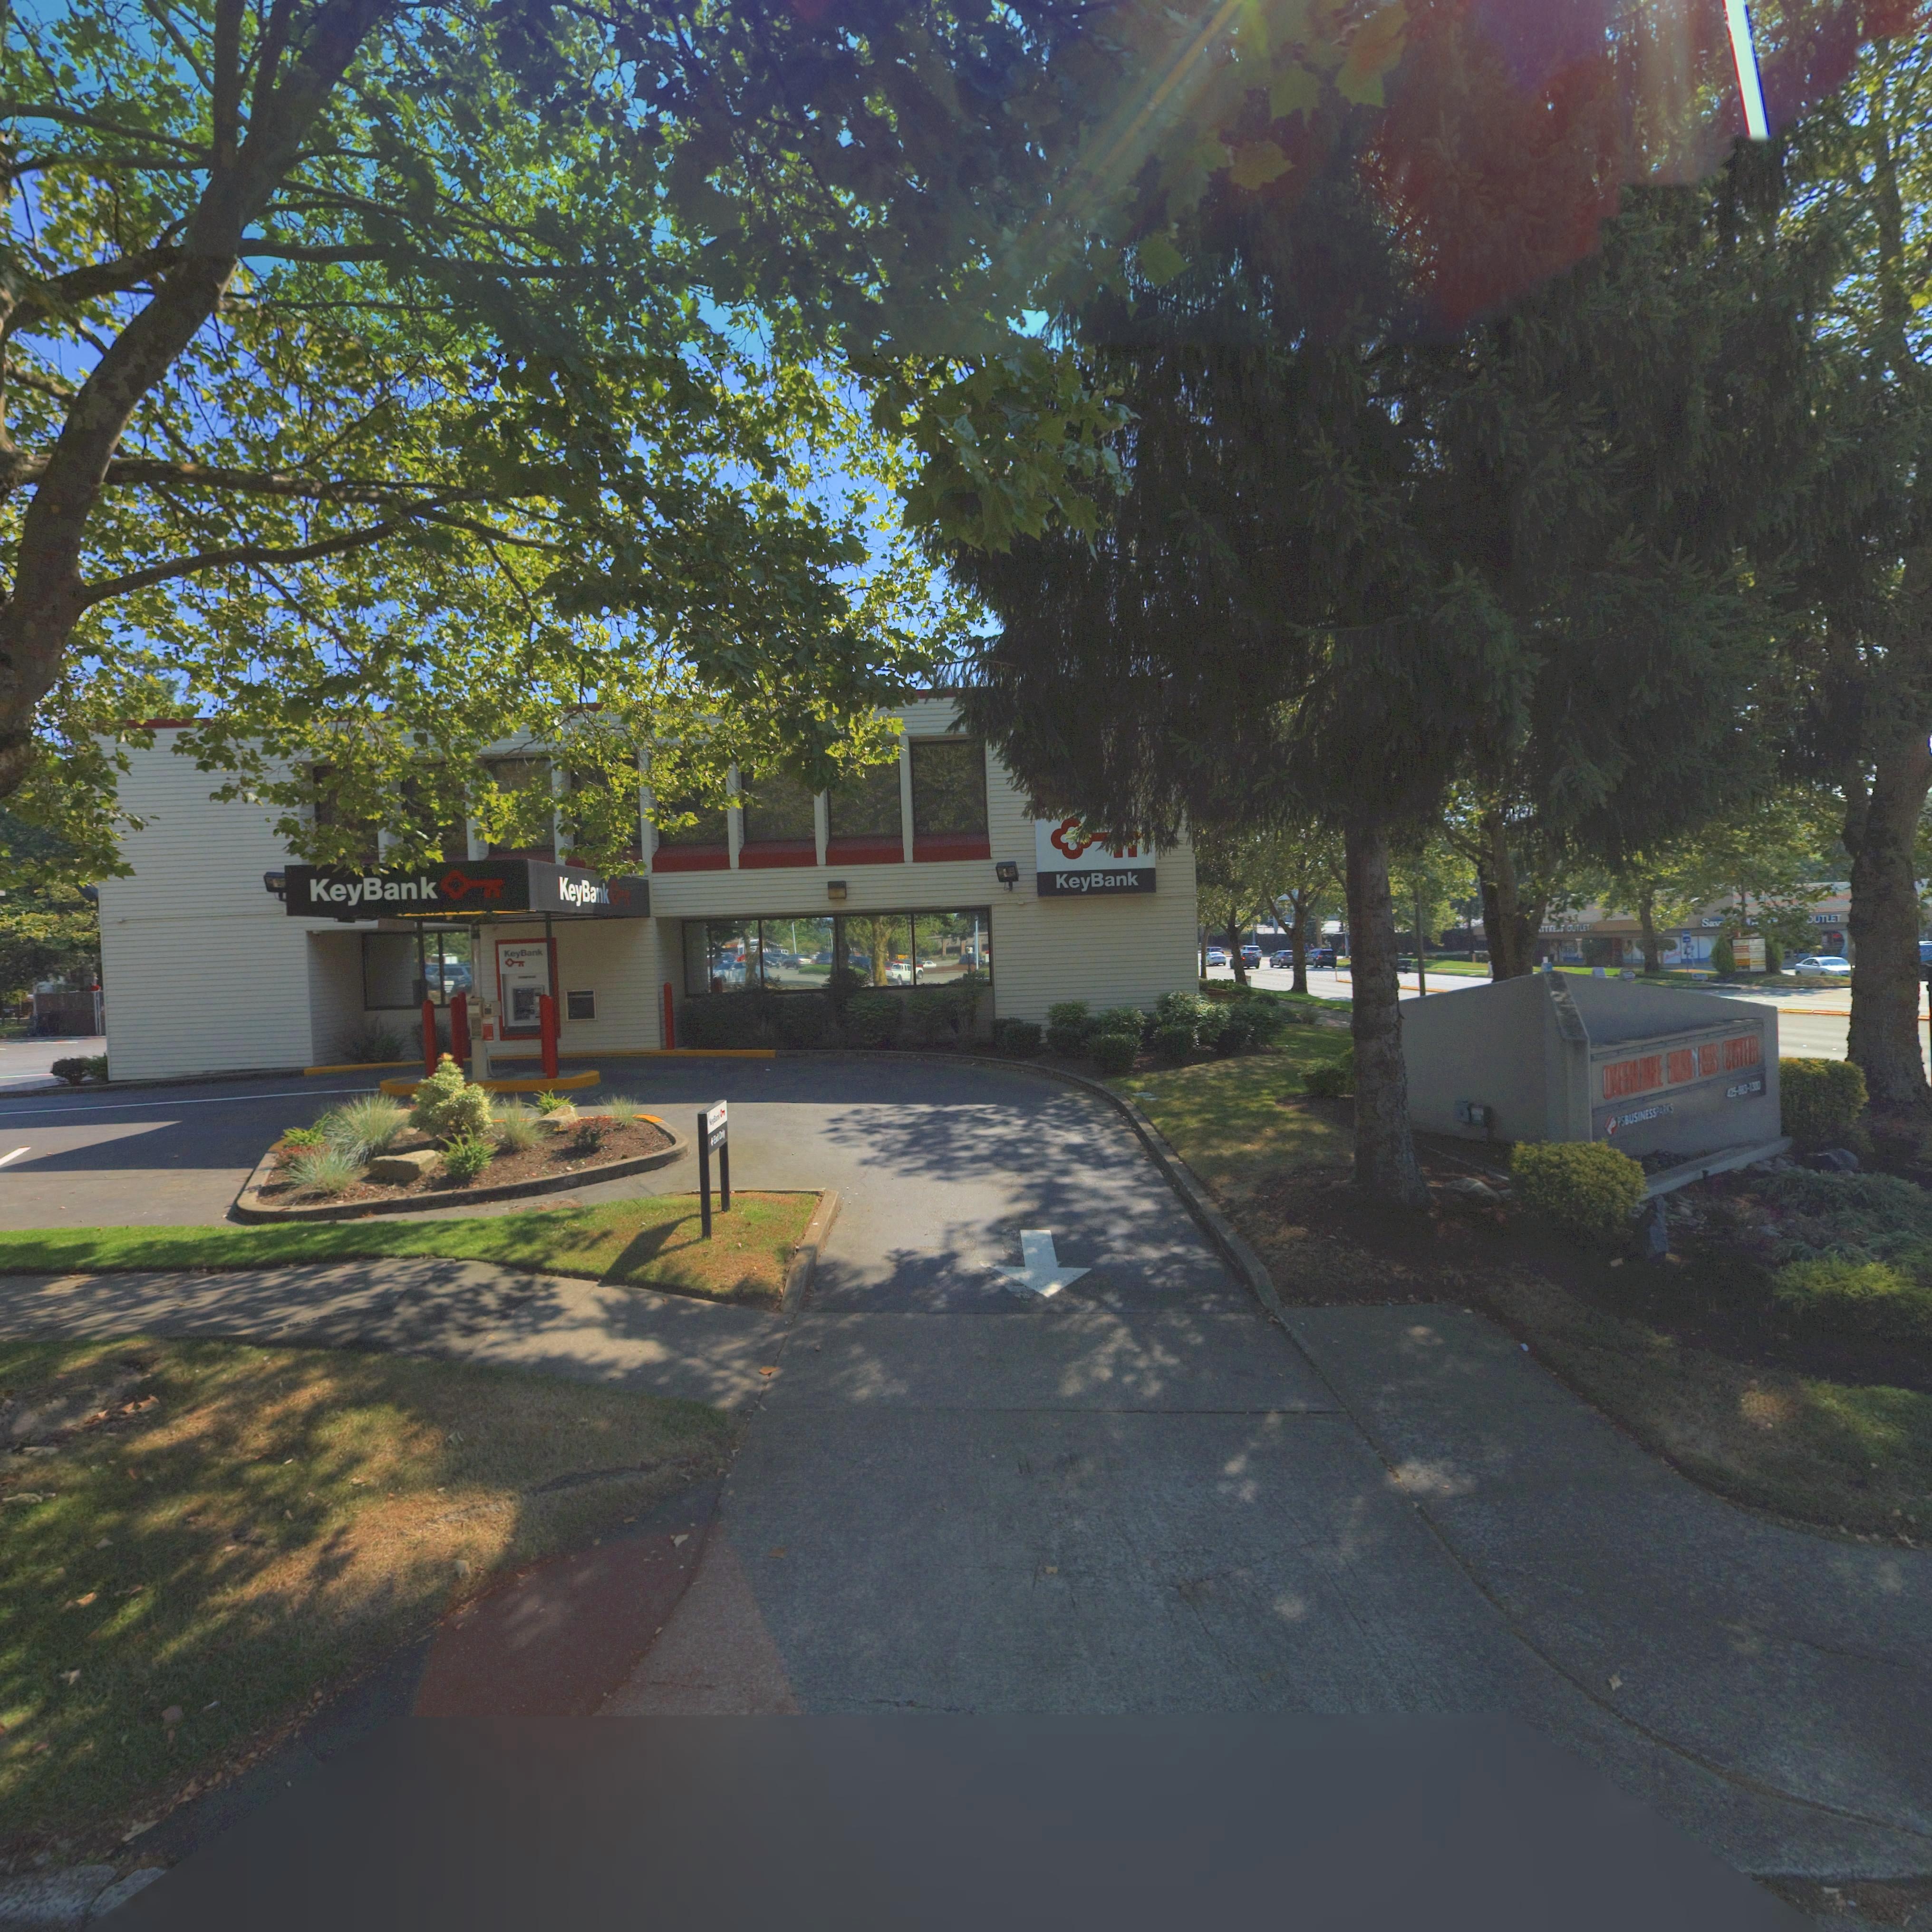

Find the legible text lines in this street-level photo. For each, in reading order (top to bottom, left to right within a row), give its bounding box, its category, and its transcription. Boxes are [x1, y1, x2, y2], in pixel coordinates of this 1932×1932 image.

[1056, 872, 1138, 891] BusinessName: KeyBank
[310, 876, 437, 905] BusinessName: KeyBank
[1701, 914, 1841, 927] BusinessName: Sav** ******** *UTLET
[1537, 924, 1590, 932] BusinessName: *TT**** OUTLET
[504, 948, 542, 958] BusinessName: KeyBank